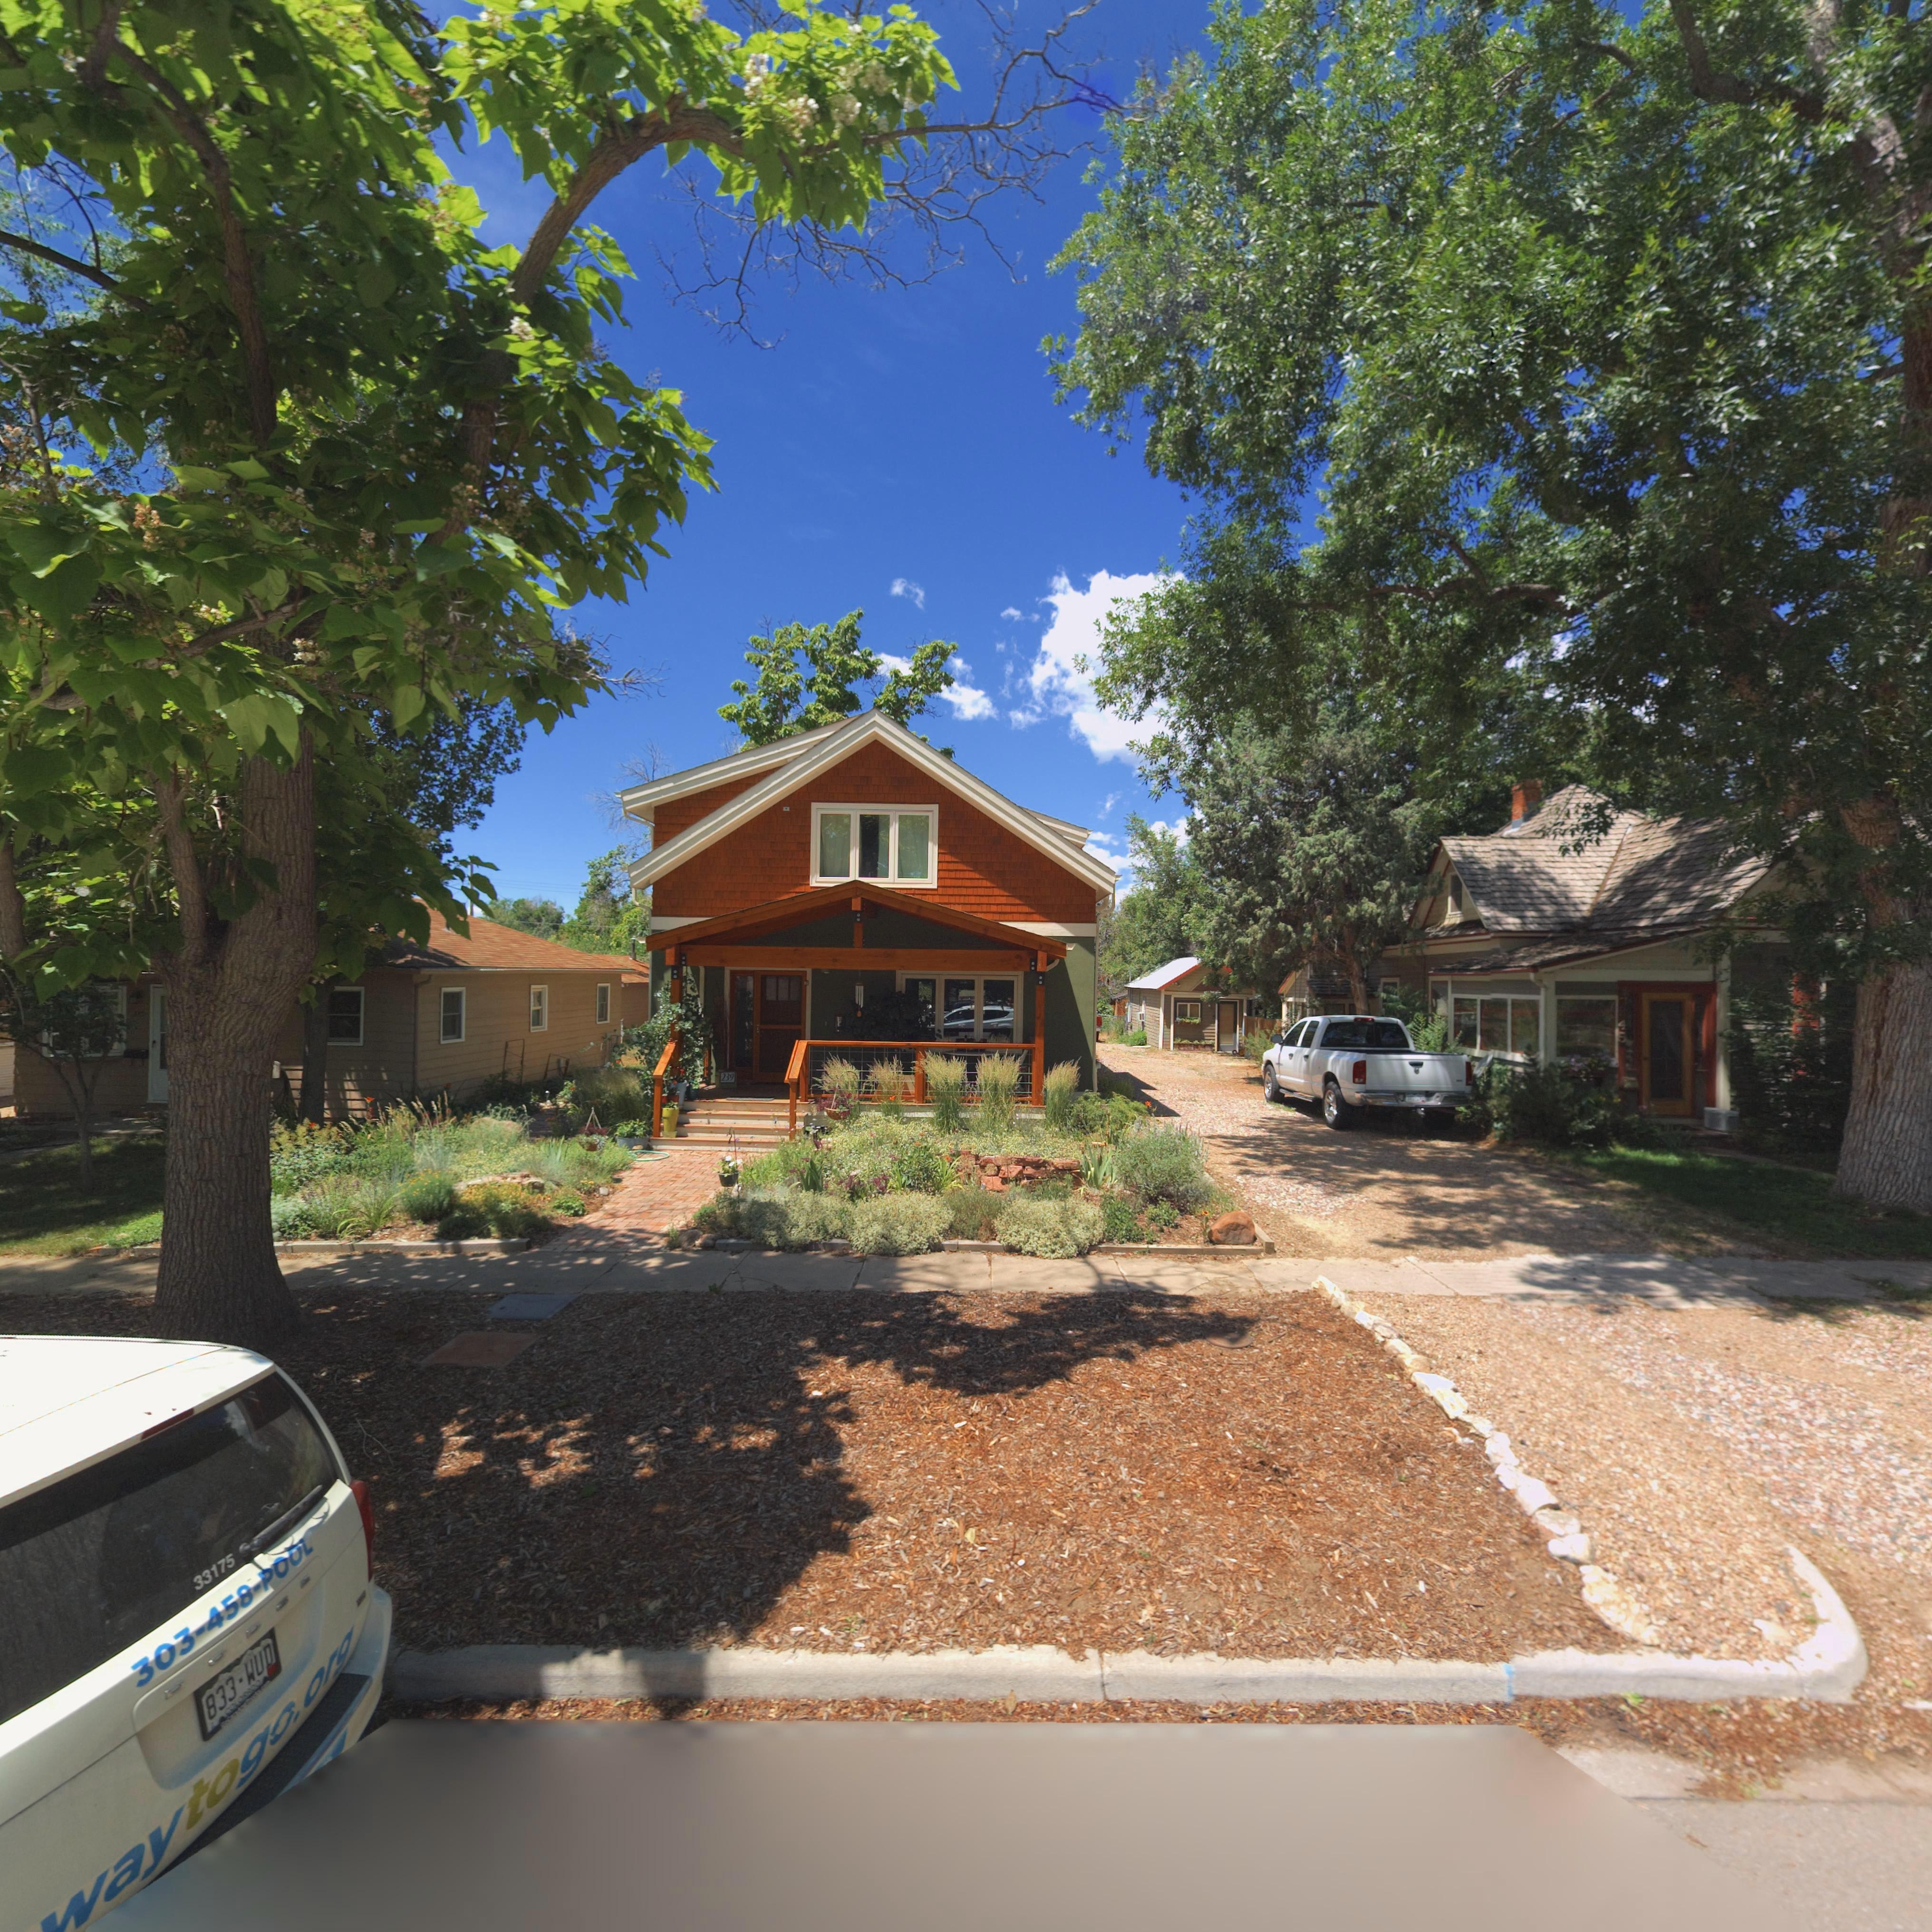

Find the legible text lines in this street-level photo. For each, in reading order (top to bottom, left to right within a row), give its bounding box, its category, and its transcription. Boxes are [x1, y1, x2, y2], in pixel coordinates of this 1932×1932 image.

[1617, 1006, 1625, 1043] StreetNumber: 245
[720, 1072, 734, 1081] StreetNumber: 239